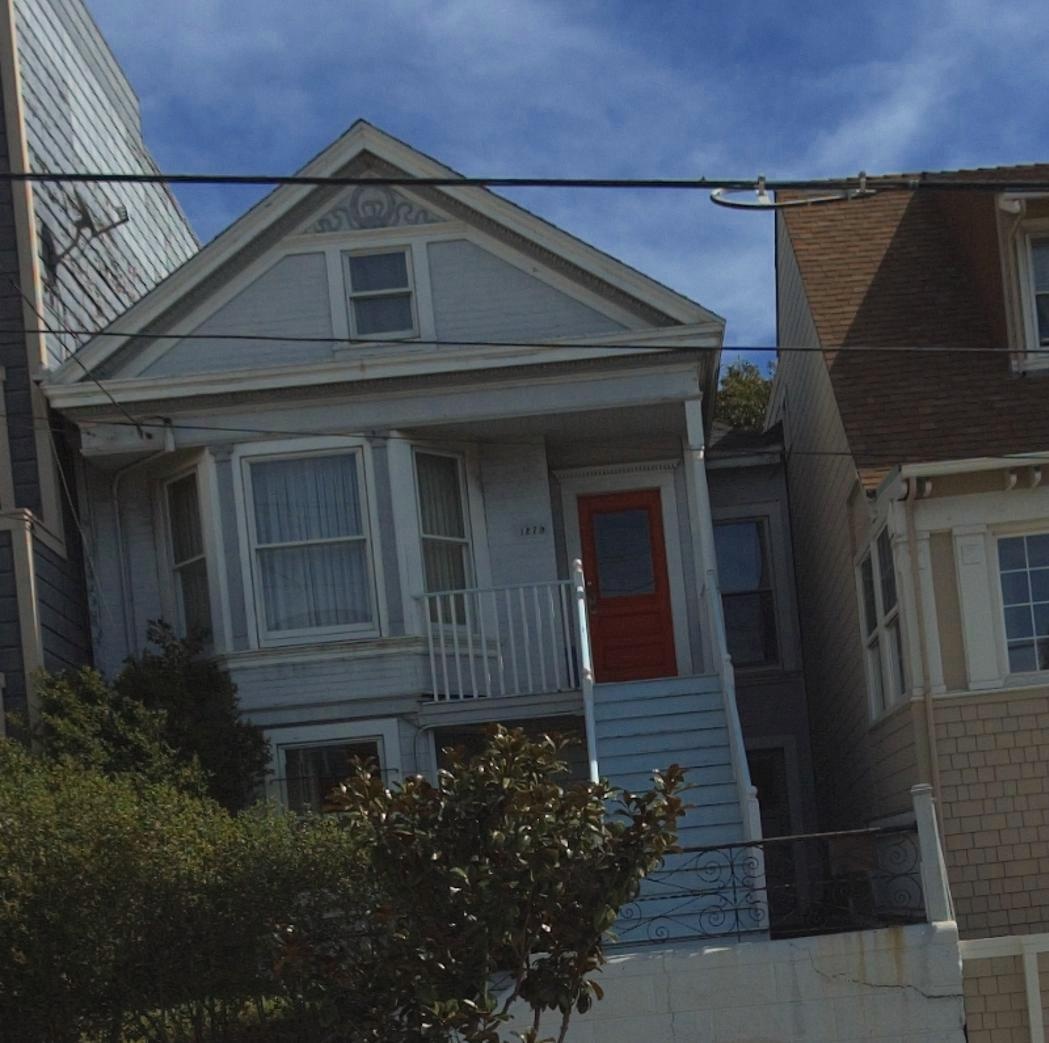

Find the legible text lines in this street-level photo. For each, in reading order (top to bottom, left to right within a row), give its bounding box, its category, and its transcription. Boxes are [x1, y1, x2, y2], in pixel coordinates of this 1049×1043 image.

[519, 525, 546, 537] StreetNumber: 127*